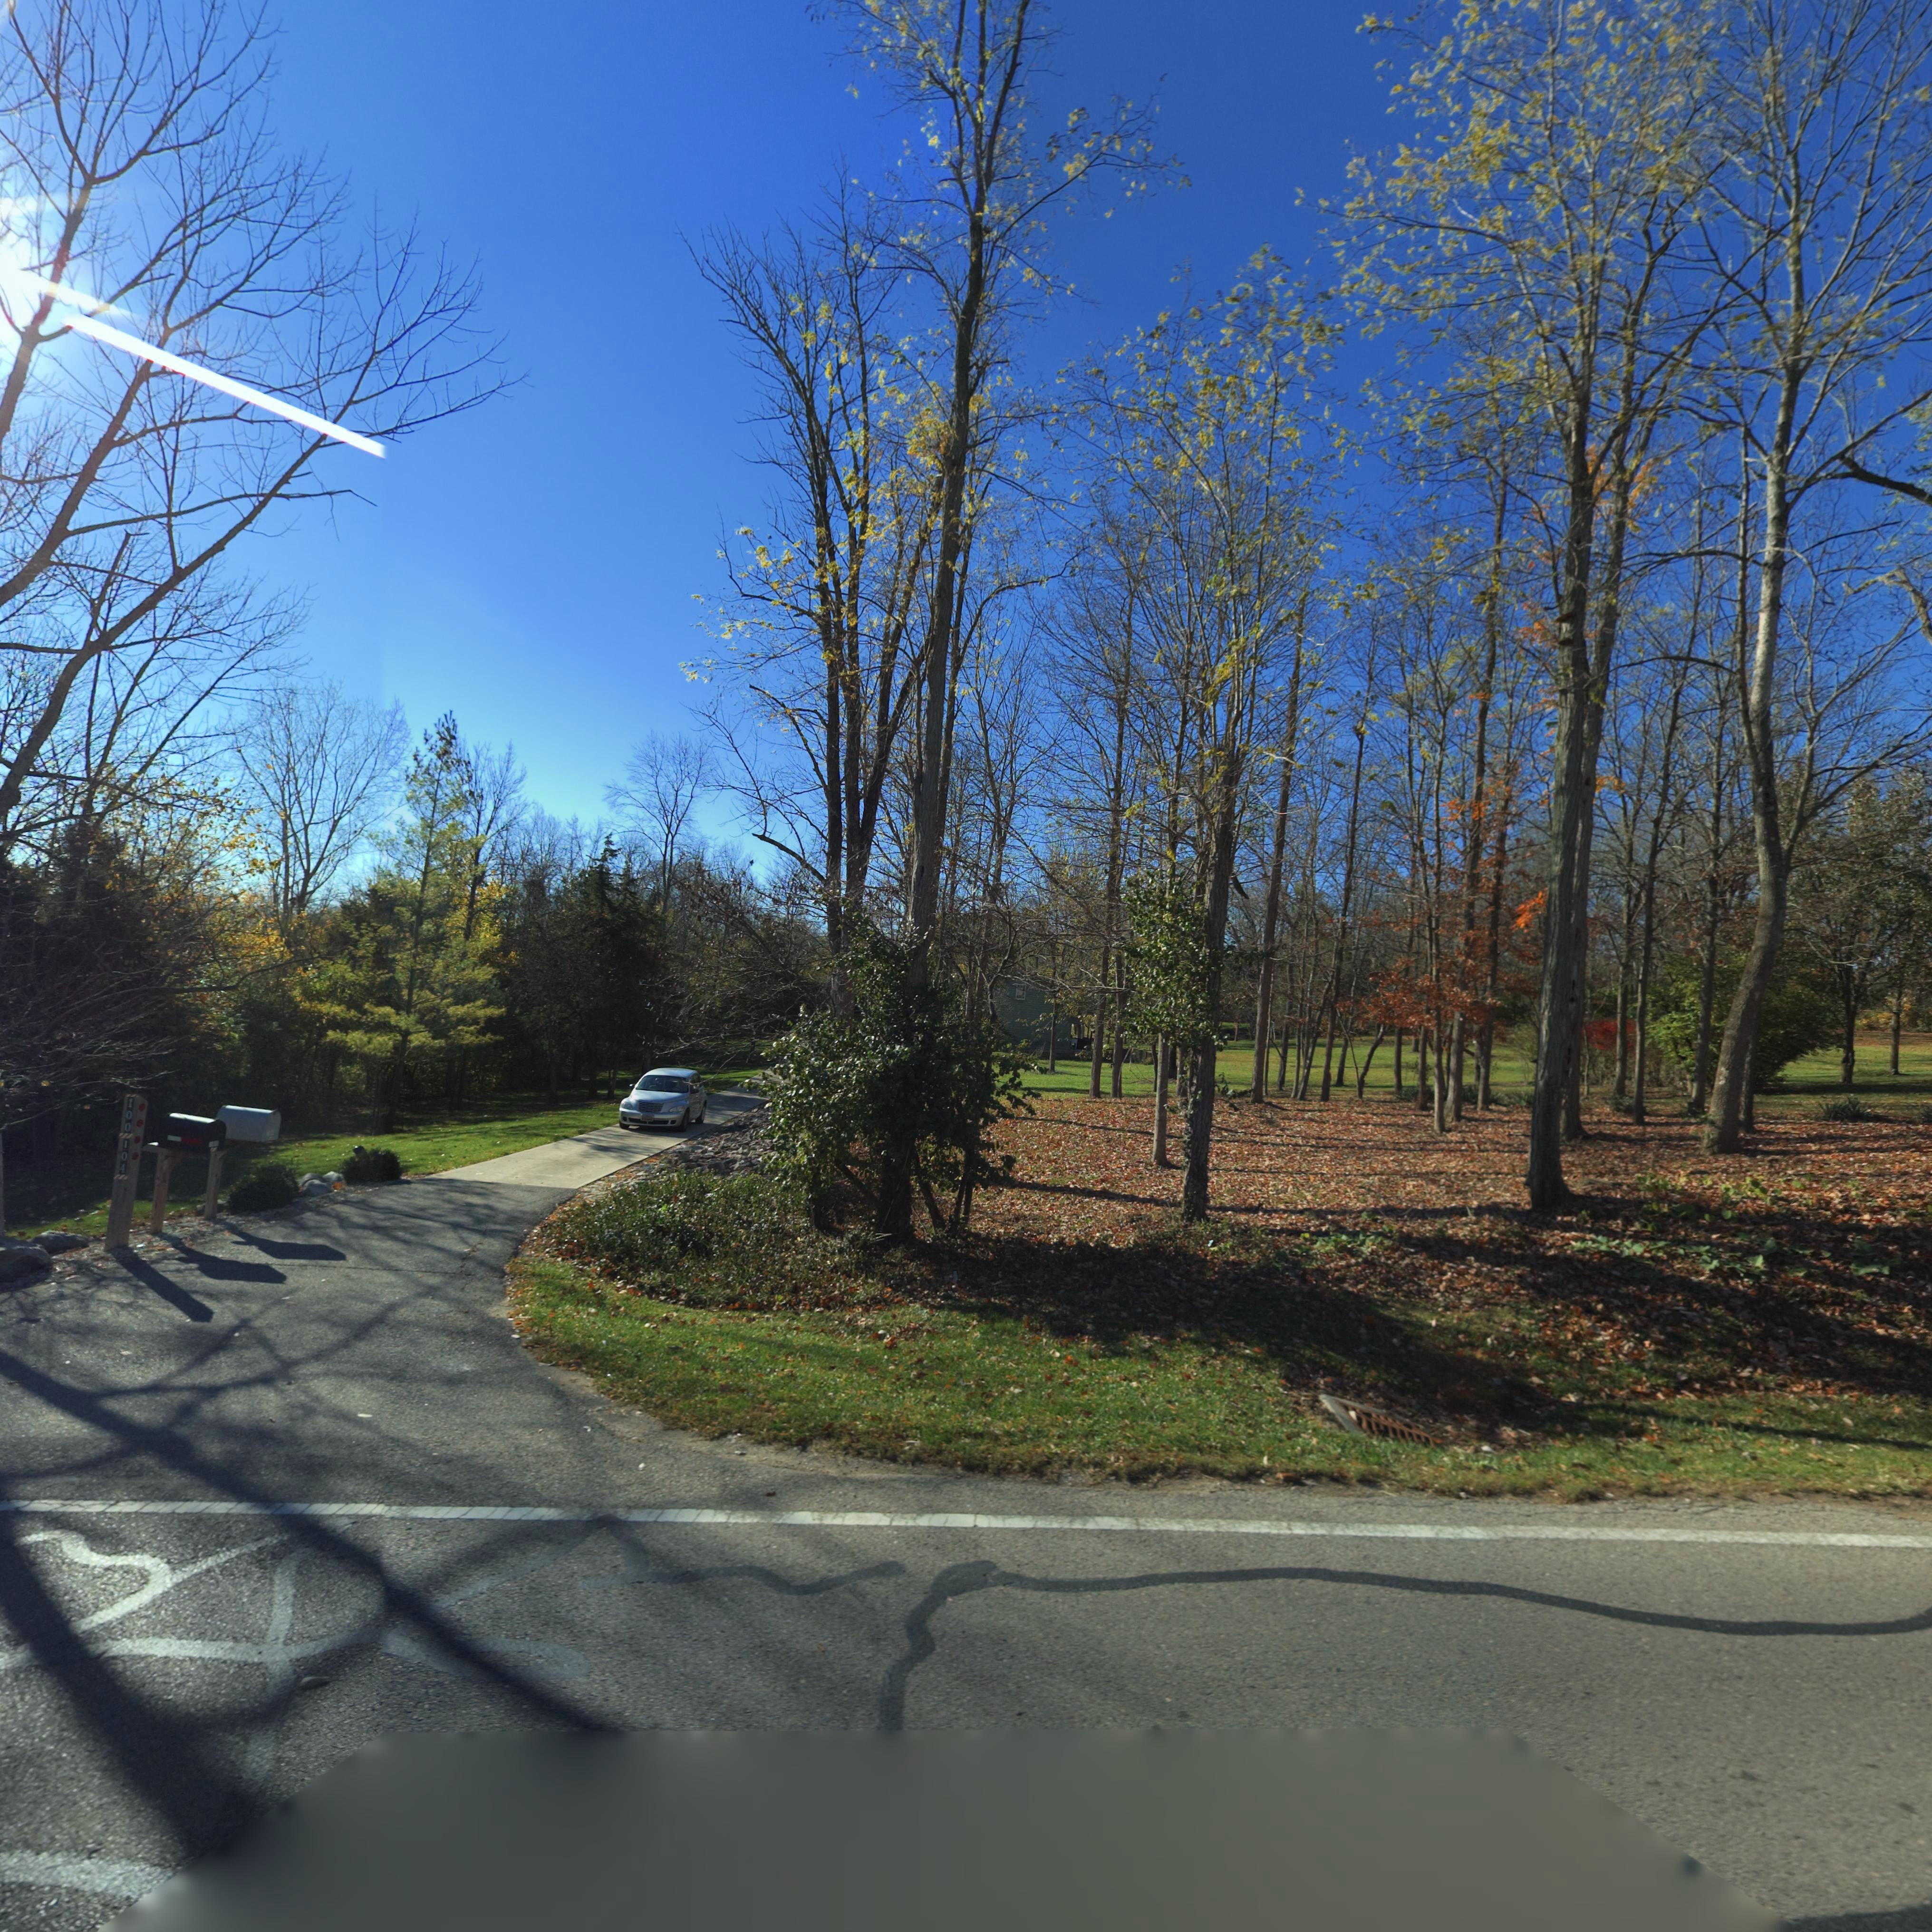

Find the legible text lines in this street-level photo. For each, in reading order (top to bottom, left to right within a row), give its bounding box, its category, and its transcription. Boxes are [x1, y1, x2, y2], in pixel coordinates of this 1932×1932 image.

[124, 1098, 135, 1133] StreetNumber: 100
[119, 1140, 129, 1173] StreetNumber: 104